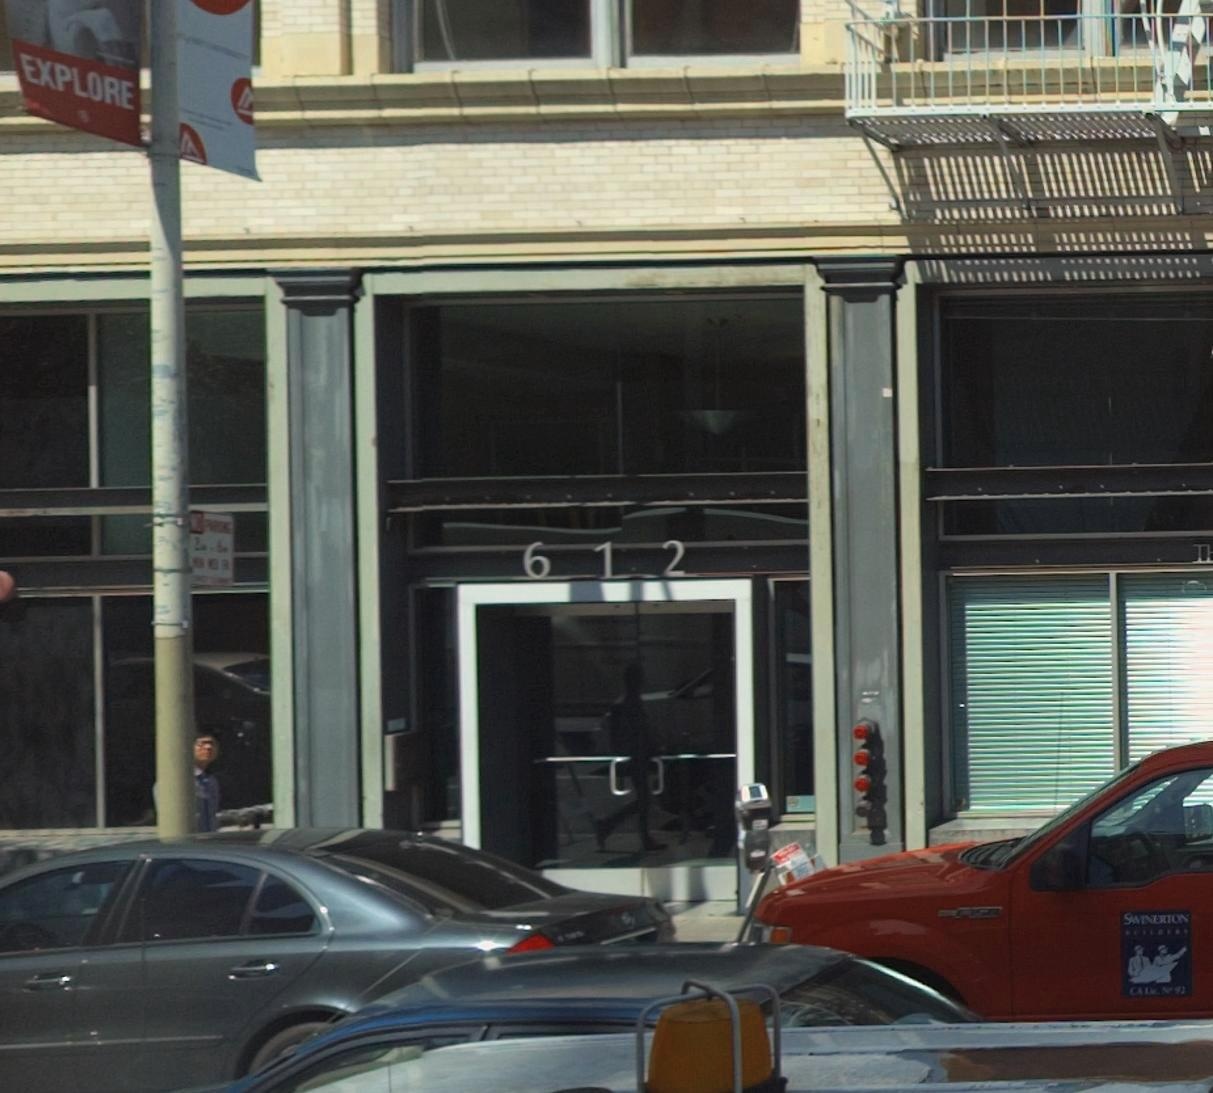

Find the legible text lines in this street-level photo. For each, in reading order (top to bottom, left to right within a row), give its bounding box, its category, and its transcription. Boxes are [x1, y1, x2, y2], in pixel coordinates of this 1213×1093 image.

[18, 50, 137, 113] None: EXPLORE
[522, 538, 687, 579] StreetNumber: 612